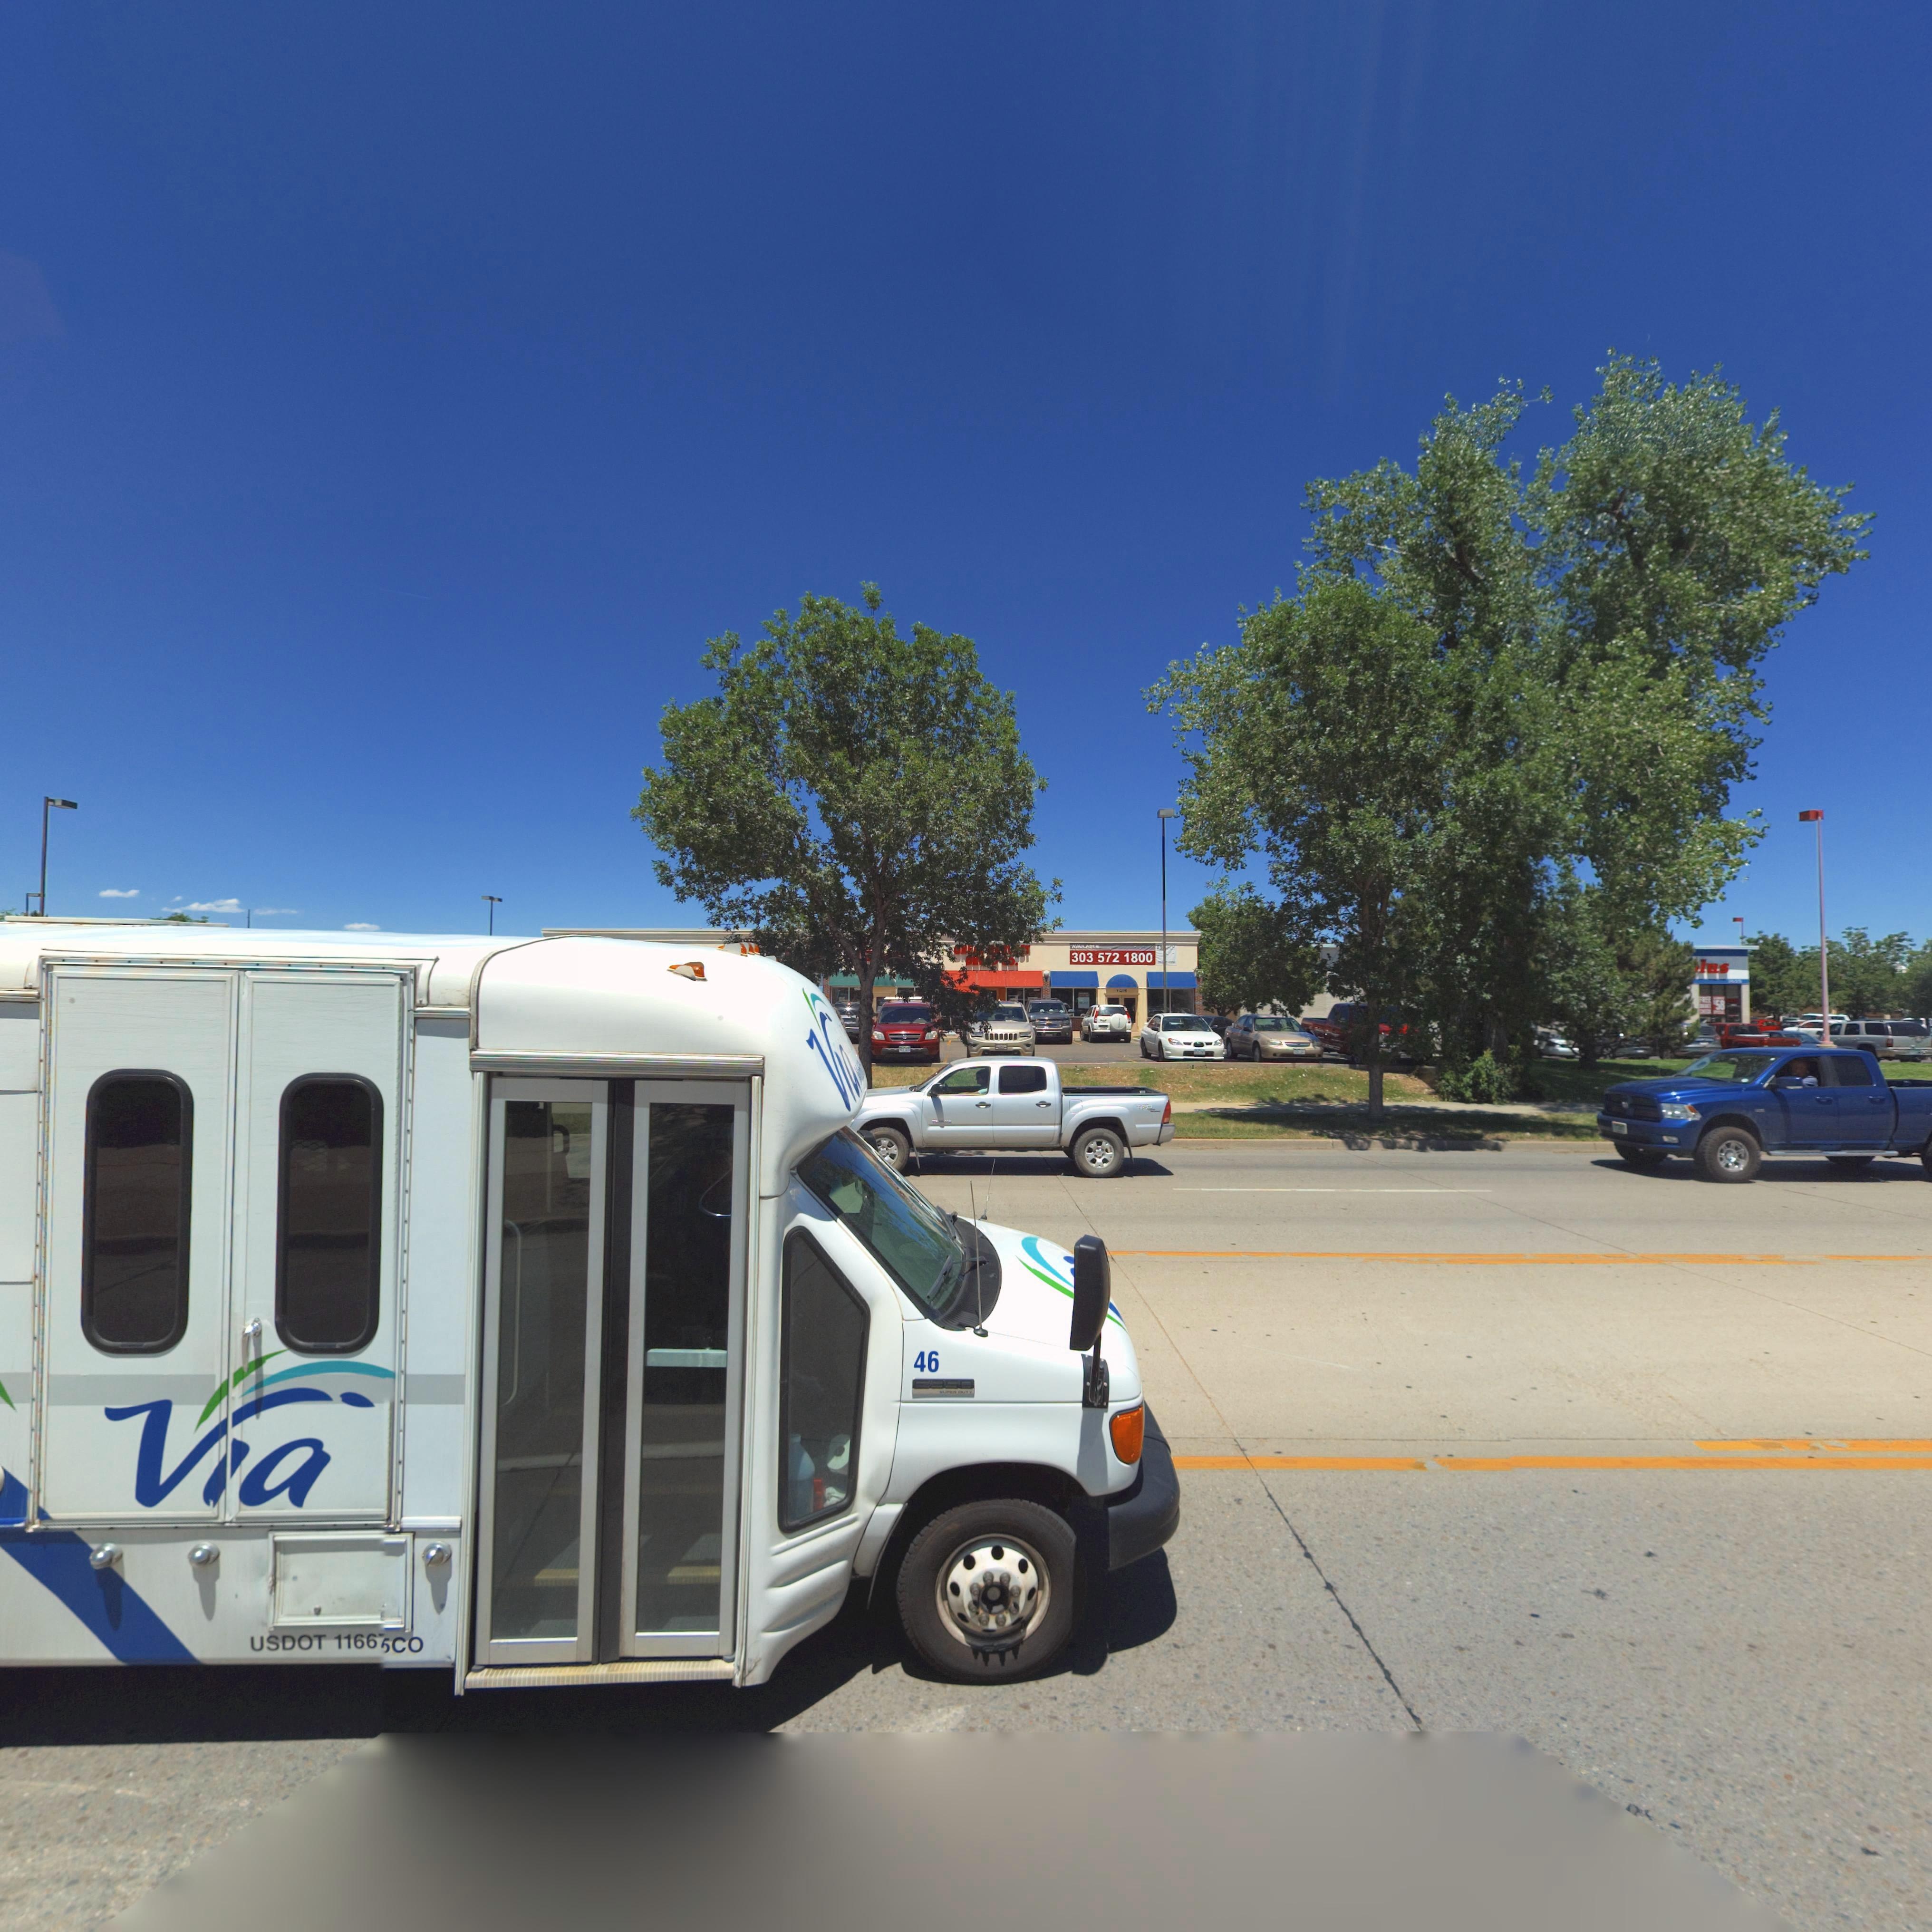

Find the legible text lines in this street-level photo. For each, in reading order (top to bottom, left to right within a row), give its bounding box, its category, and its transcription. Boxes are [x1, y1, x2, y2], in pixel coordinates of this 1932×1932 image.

[954, 944, 1030, 955] BusinessName: *R*** *******
[966, 956, 1018, 966] BusinessName: BR*** *o.
[1699, 958, 1730, 974] BusinessName: lus